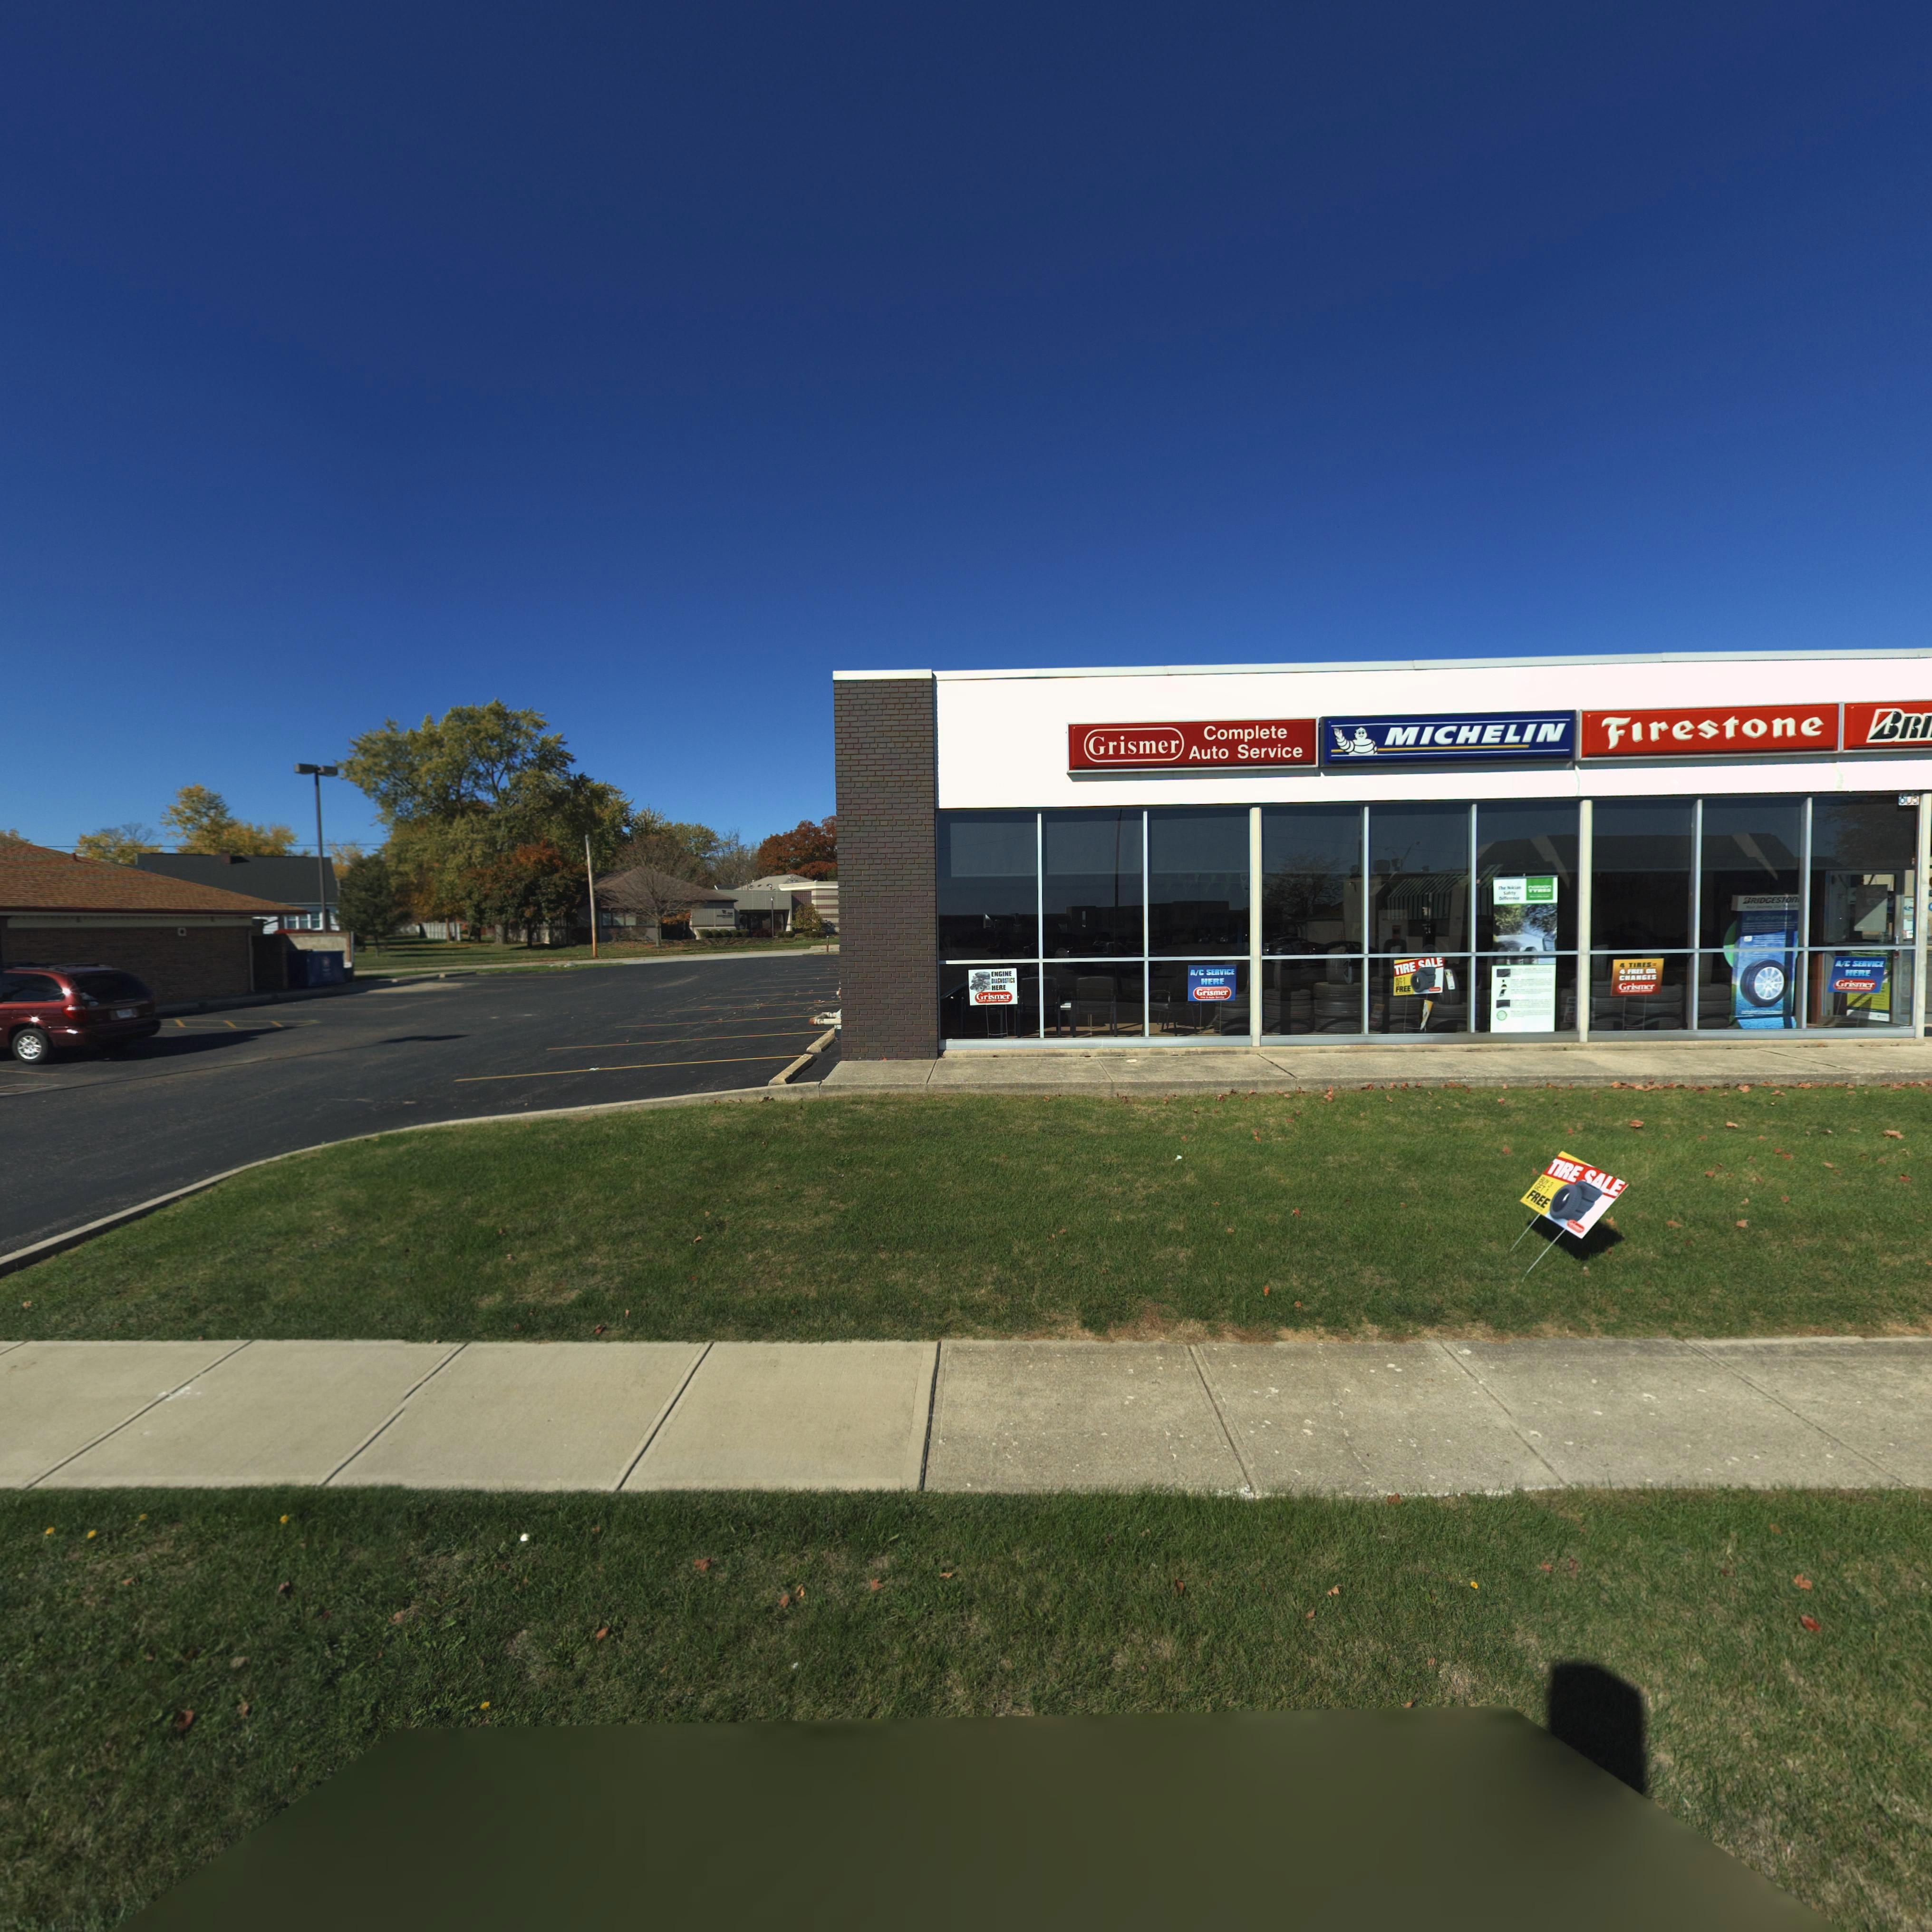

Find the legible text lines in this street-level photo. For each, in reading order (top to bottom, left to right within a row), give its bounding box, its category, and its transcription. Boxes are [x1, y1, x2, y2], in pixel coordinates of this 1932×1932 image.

[1202, 724, 1289, 744] BusinessName: Complete
[1087, 734, 1180, 757] BusinessName: Grismer
[1186, 743, 1304, 761] BusinessName: Auto Service
[1898, 792, 1920, 806] StreetNumber: 605
[976, 993, 1011, 1001] BusinessName: Grismer
[1196, 988, 1229, 996] BusinessName: Grismer
[1617, 982, 1656, 991] BusinessName: Grismer
[1835, 979, 1876, 988] BusinessName: Grismer